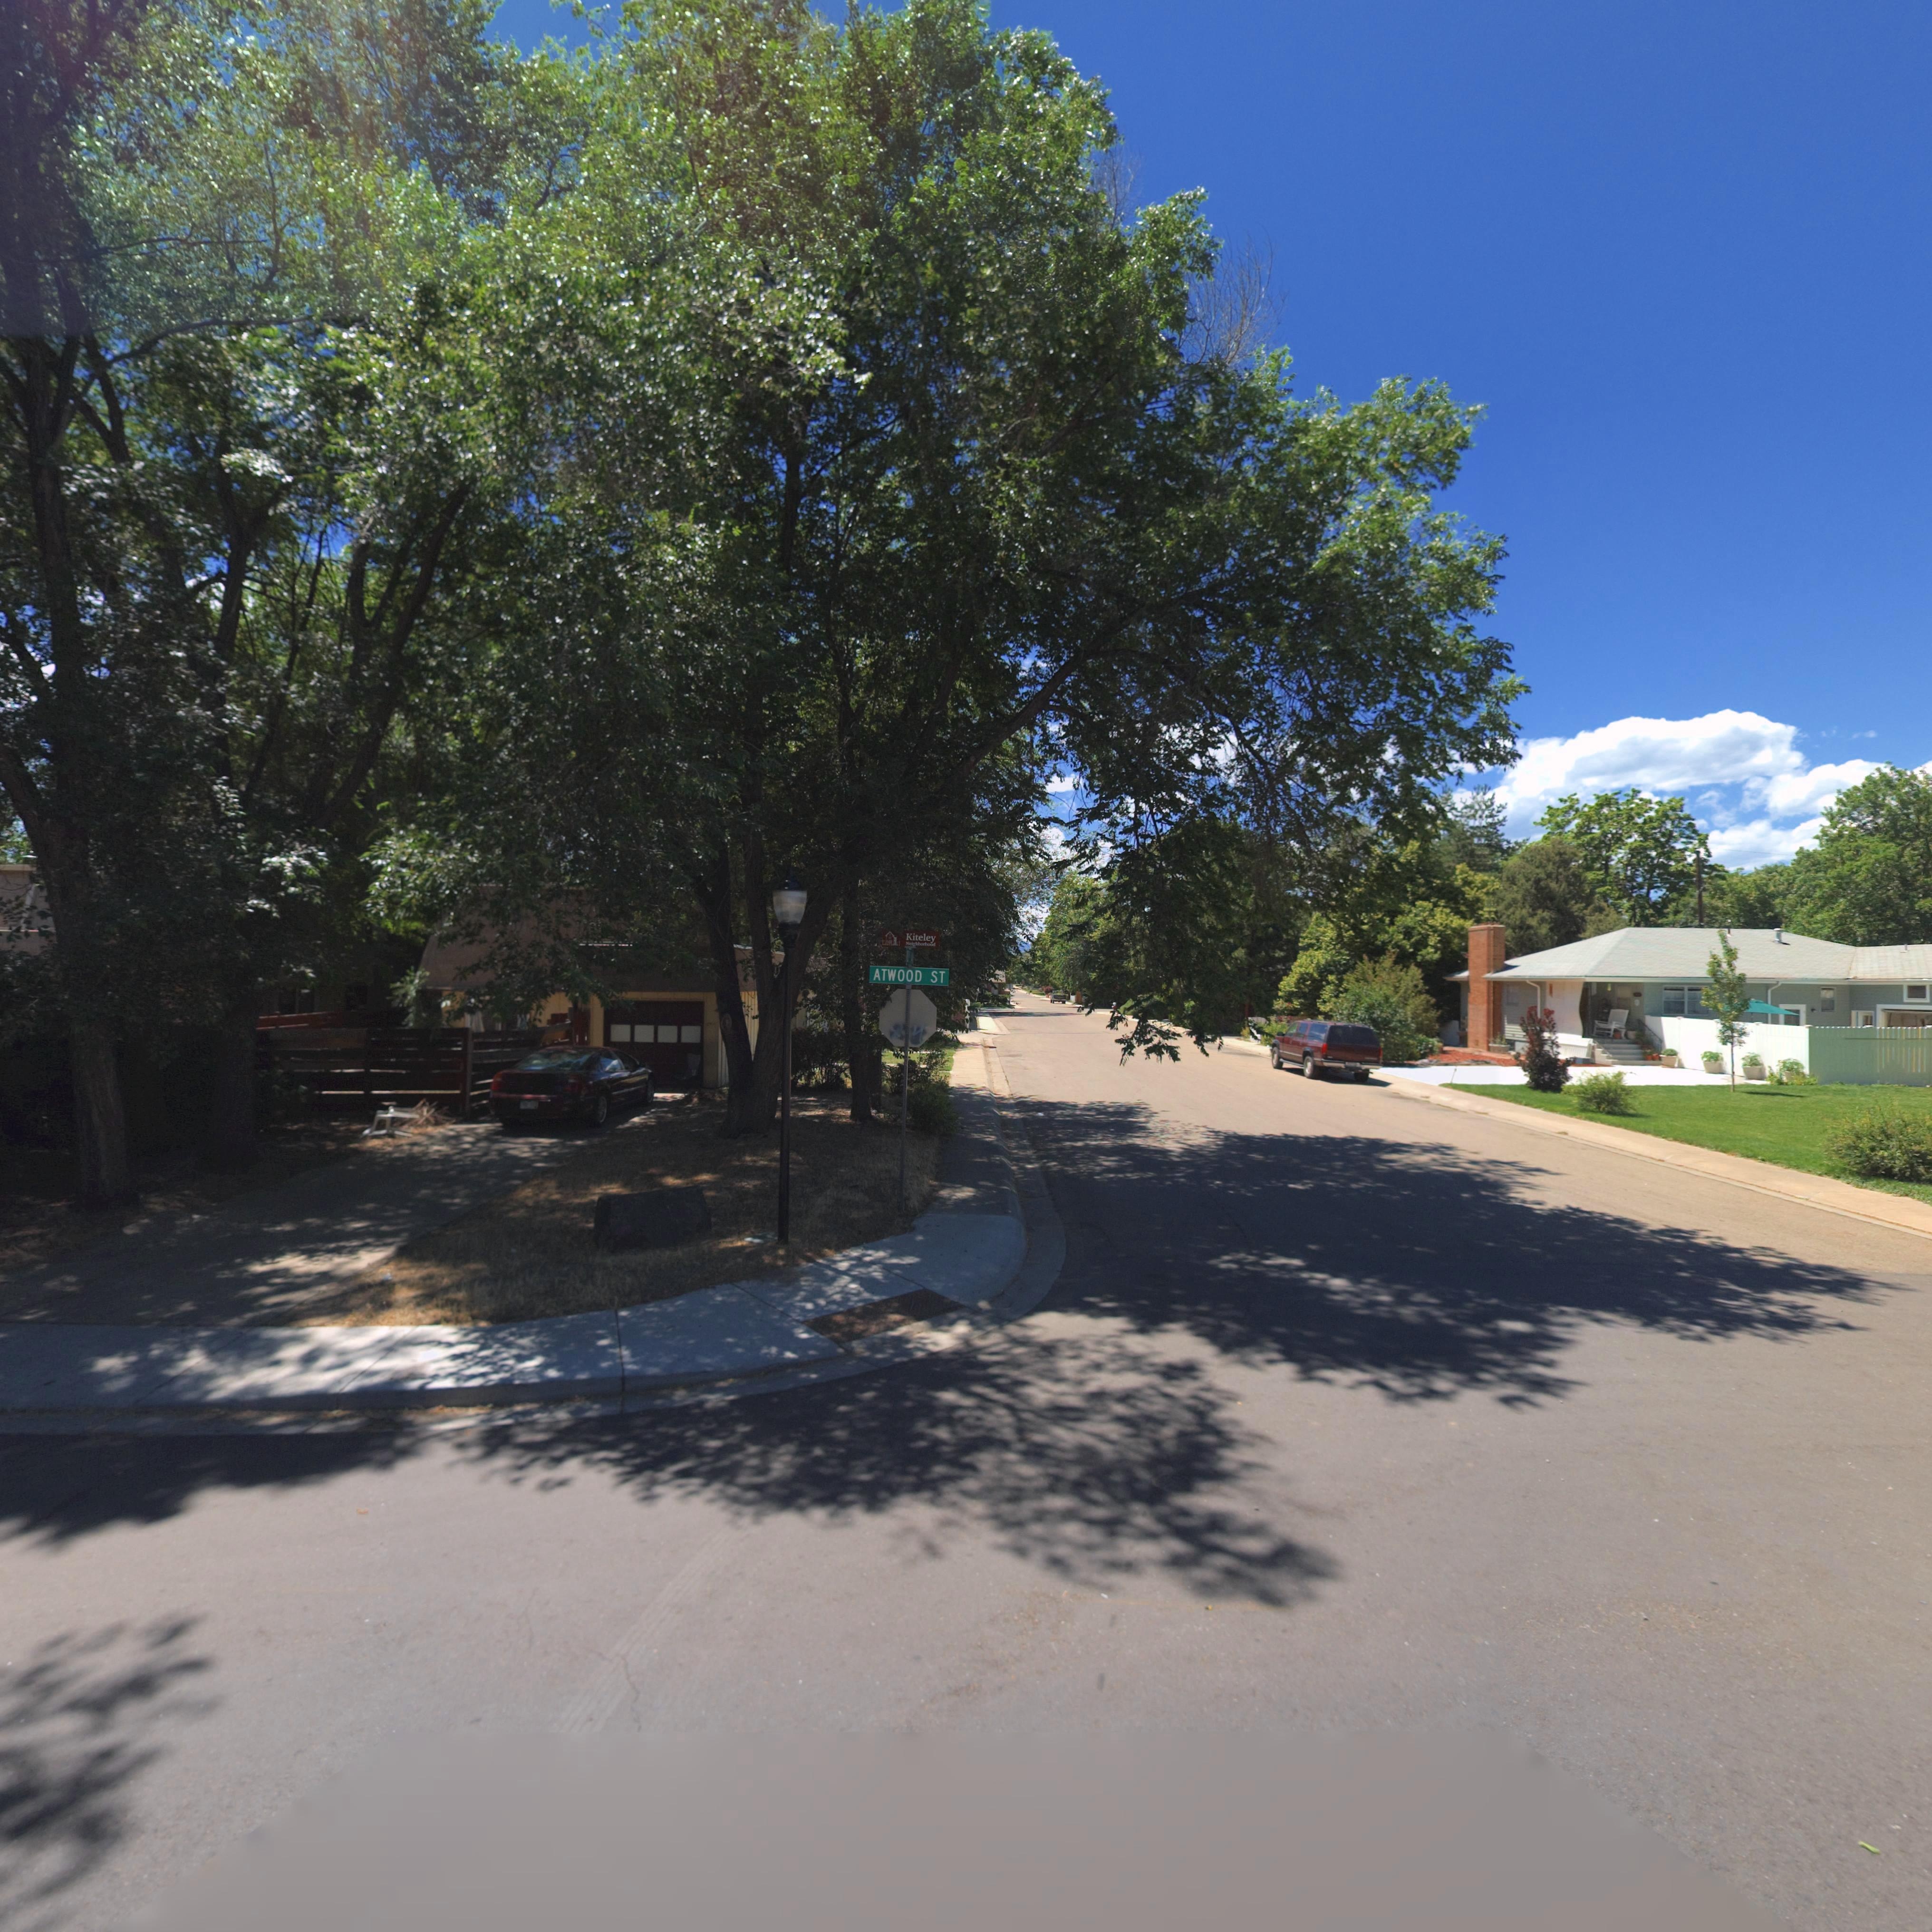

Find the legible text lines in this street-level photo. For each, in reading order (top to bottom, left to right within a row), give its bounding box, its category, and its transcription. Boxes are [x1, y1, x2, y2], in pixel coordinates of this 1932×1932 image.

[873, 968, 945, 983] StreetName: ATWOOD ST